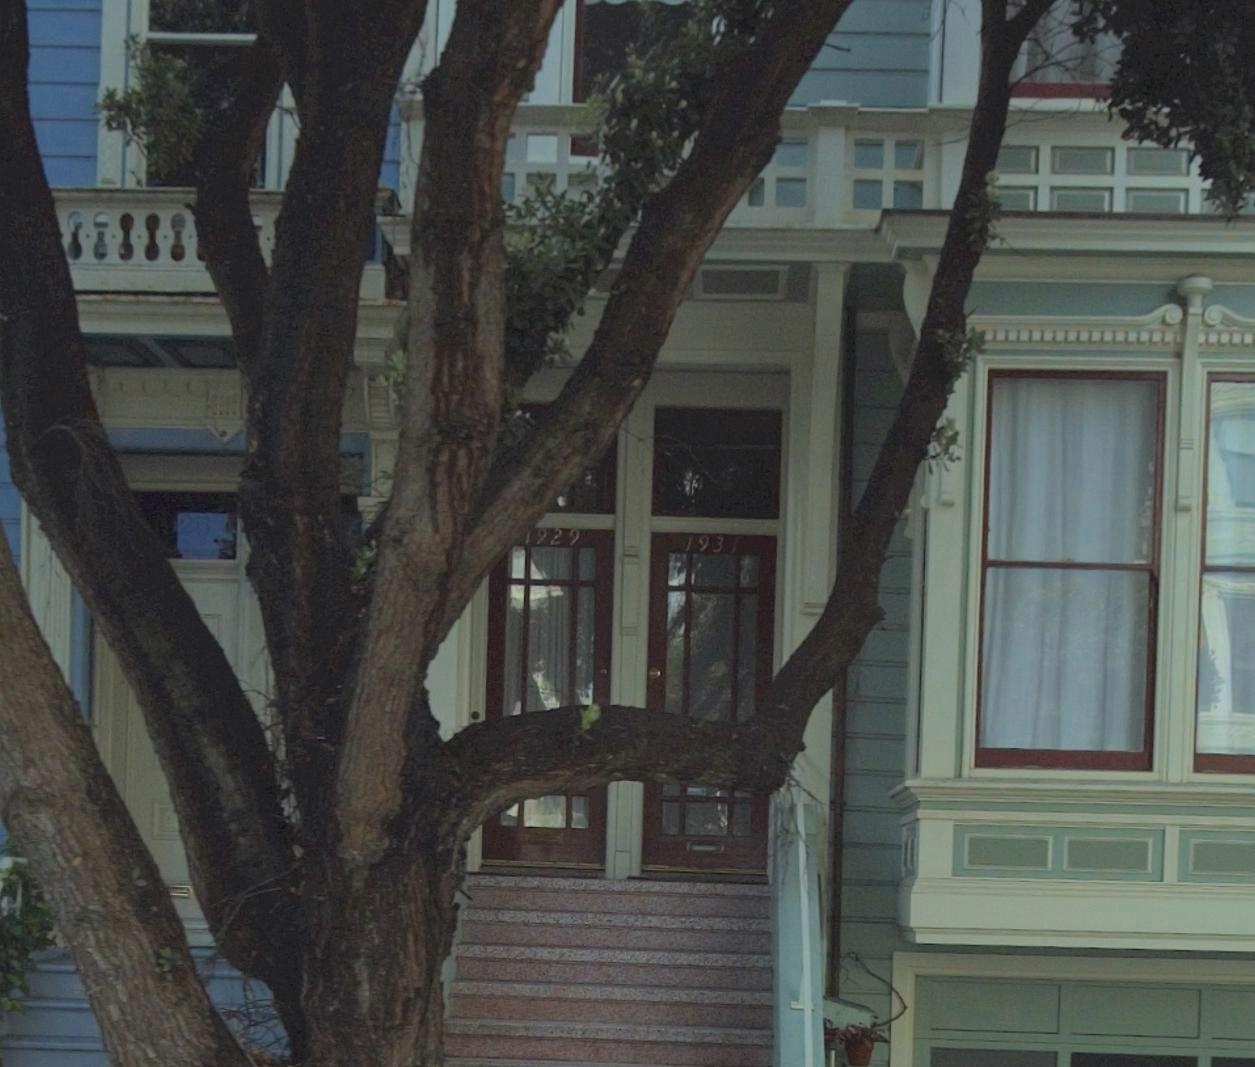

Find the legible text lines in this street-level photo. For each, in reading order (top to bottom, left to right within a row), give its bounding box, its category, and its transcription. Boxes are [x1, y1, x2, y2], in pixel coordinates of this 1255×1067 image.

[175, 511, 215, 538] StreetNumber: 25
[521, 525, 582, 548] StreetNumber: *929
[681, 532, 743, 556] StreetNumber: 1931